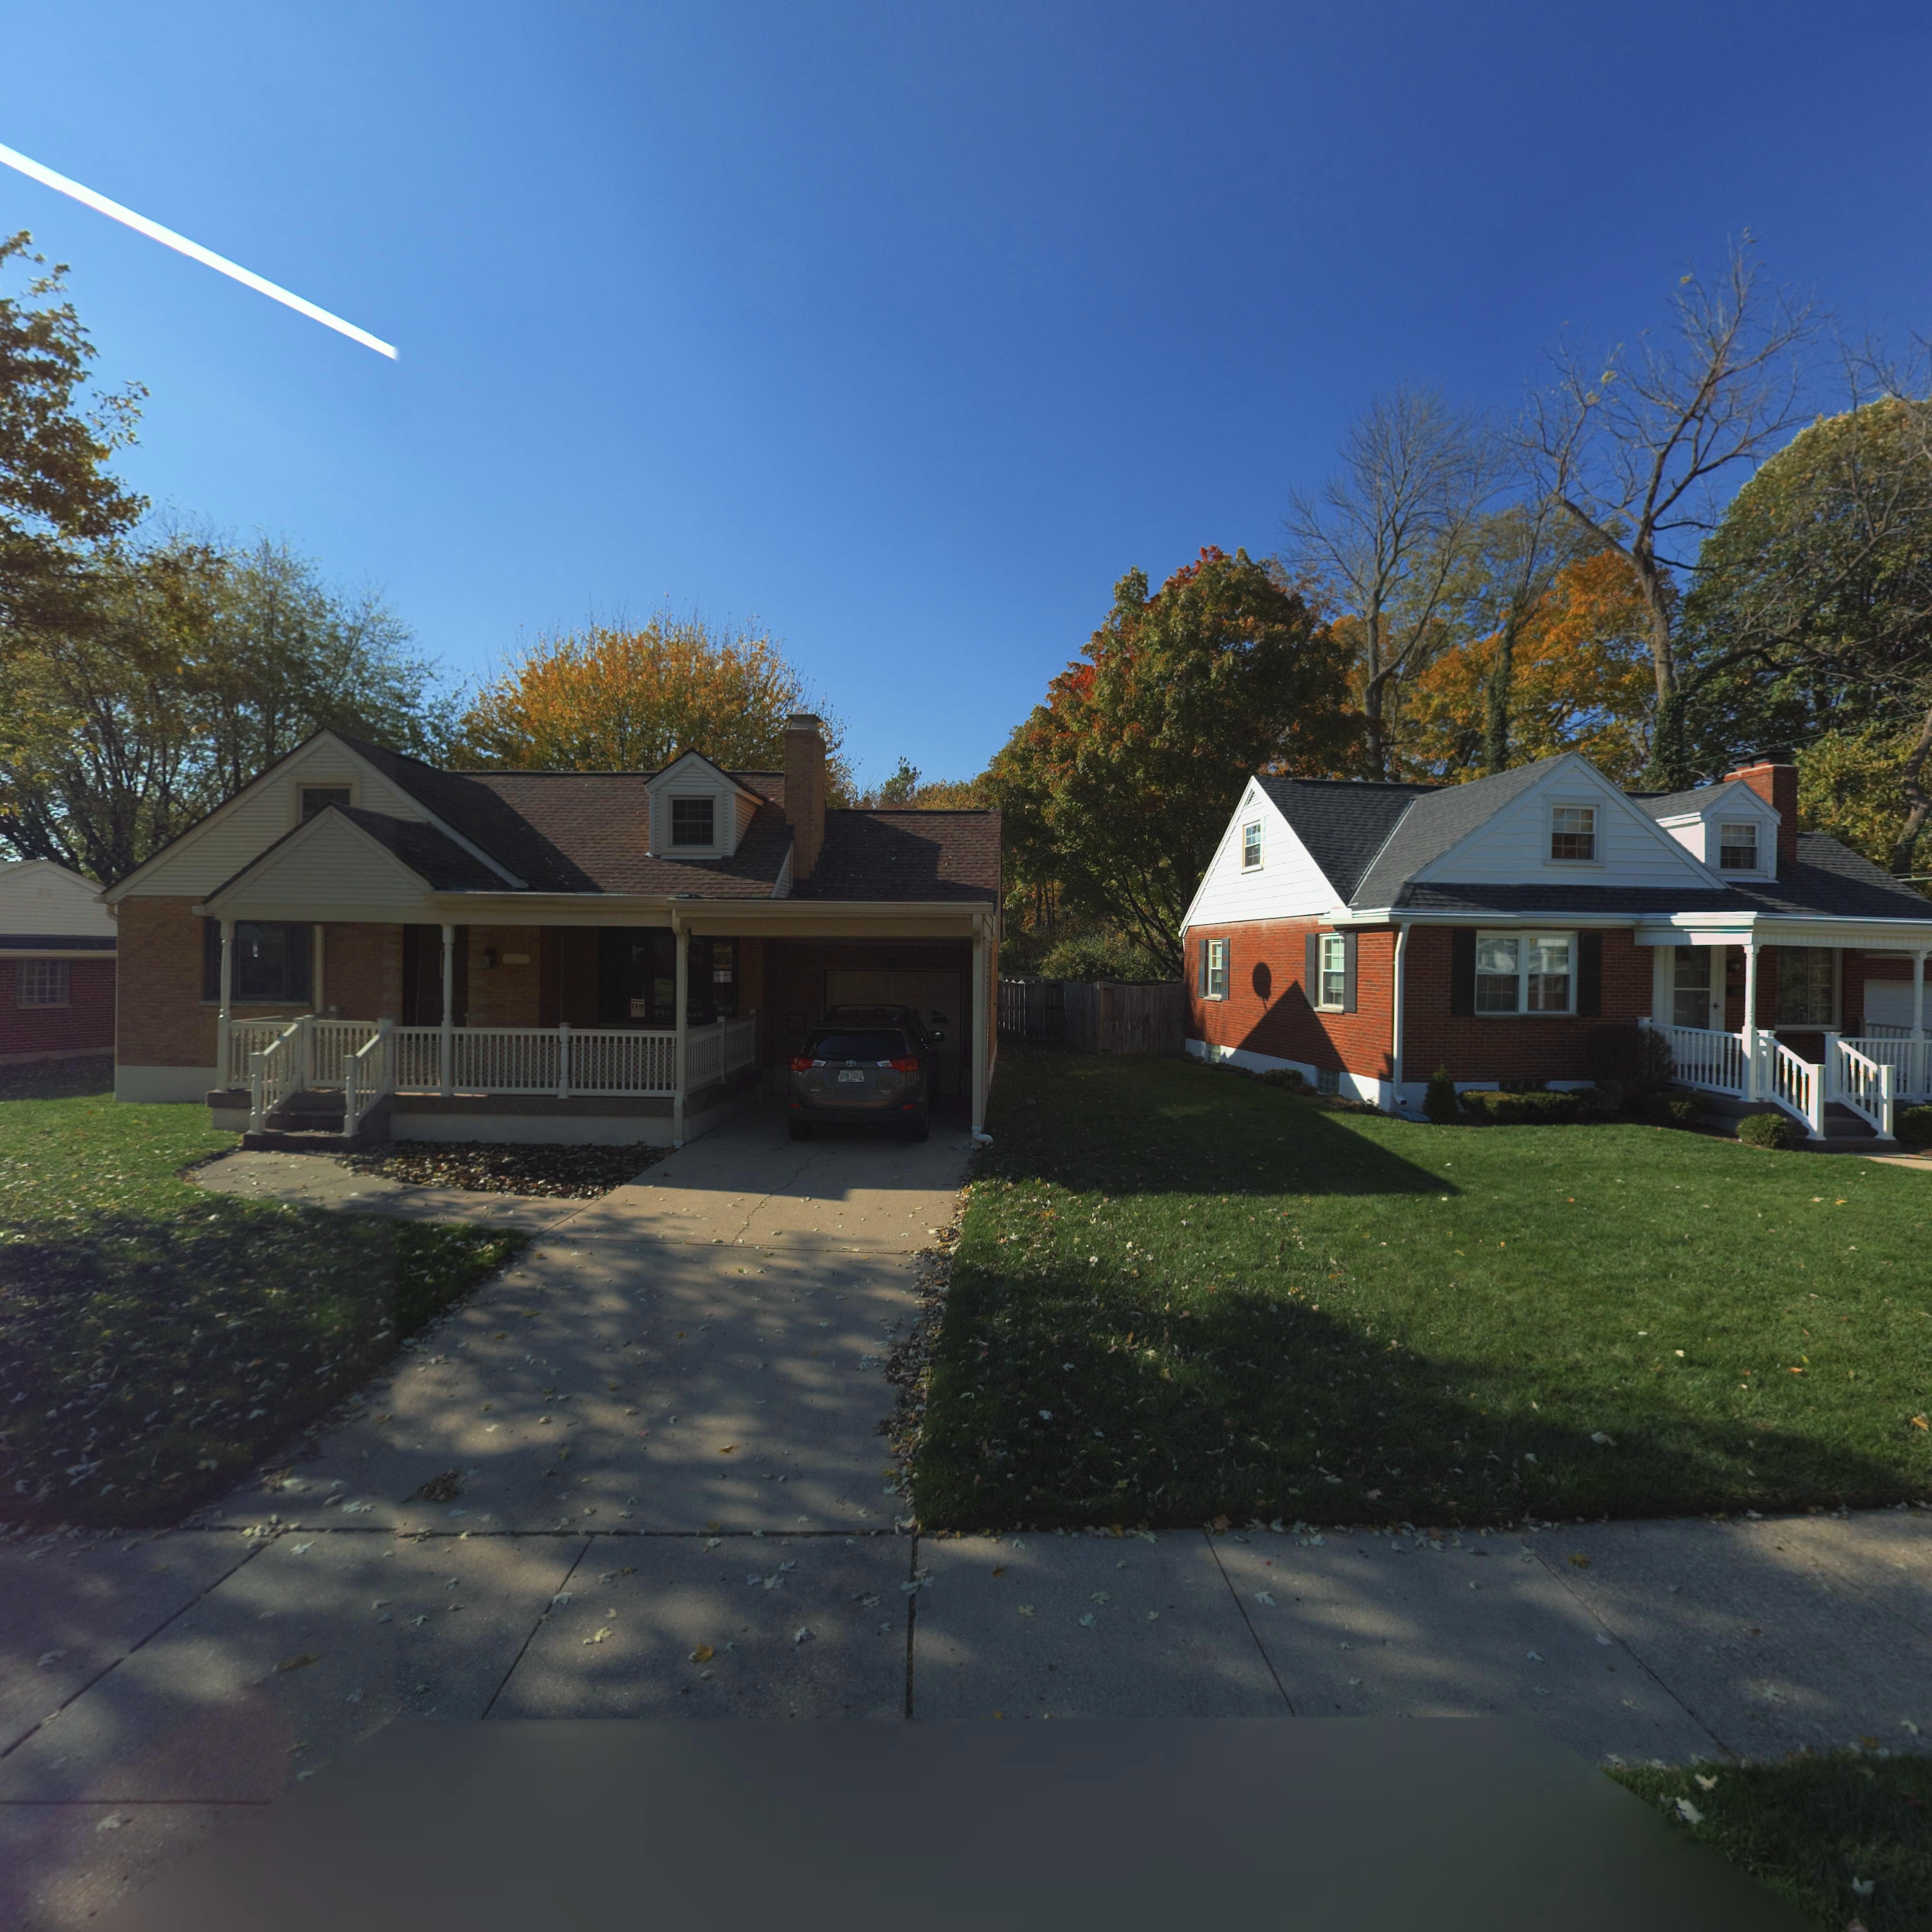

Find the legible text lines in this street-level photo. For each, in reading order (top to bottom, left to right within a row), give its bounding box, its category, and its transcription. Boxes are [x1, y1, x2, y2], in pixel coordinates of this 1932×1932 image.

[840, 1072, 862, 1080] None: BDN*7*59